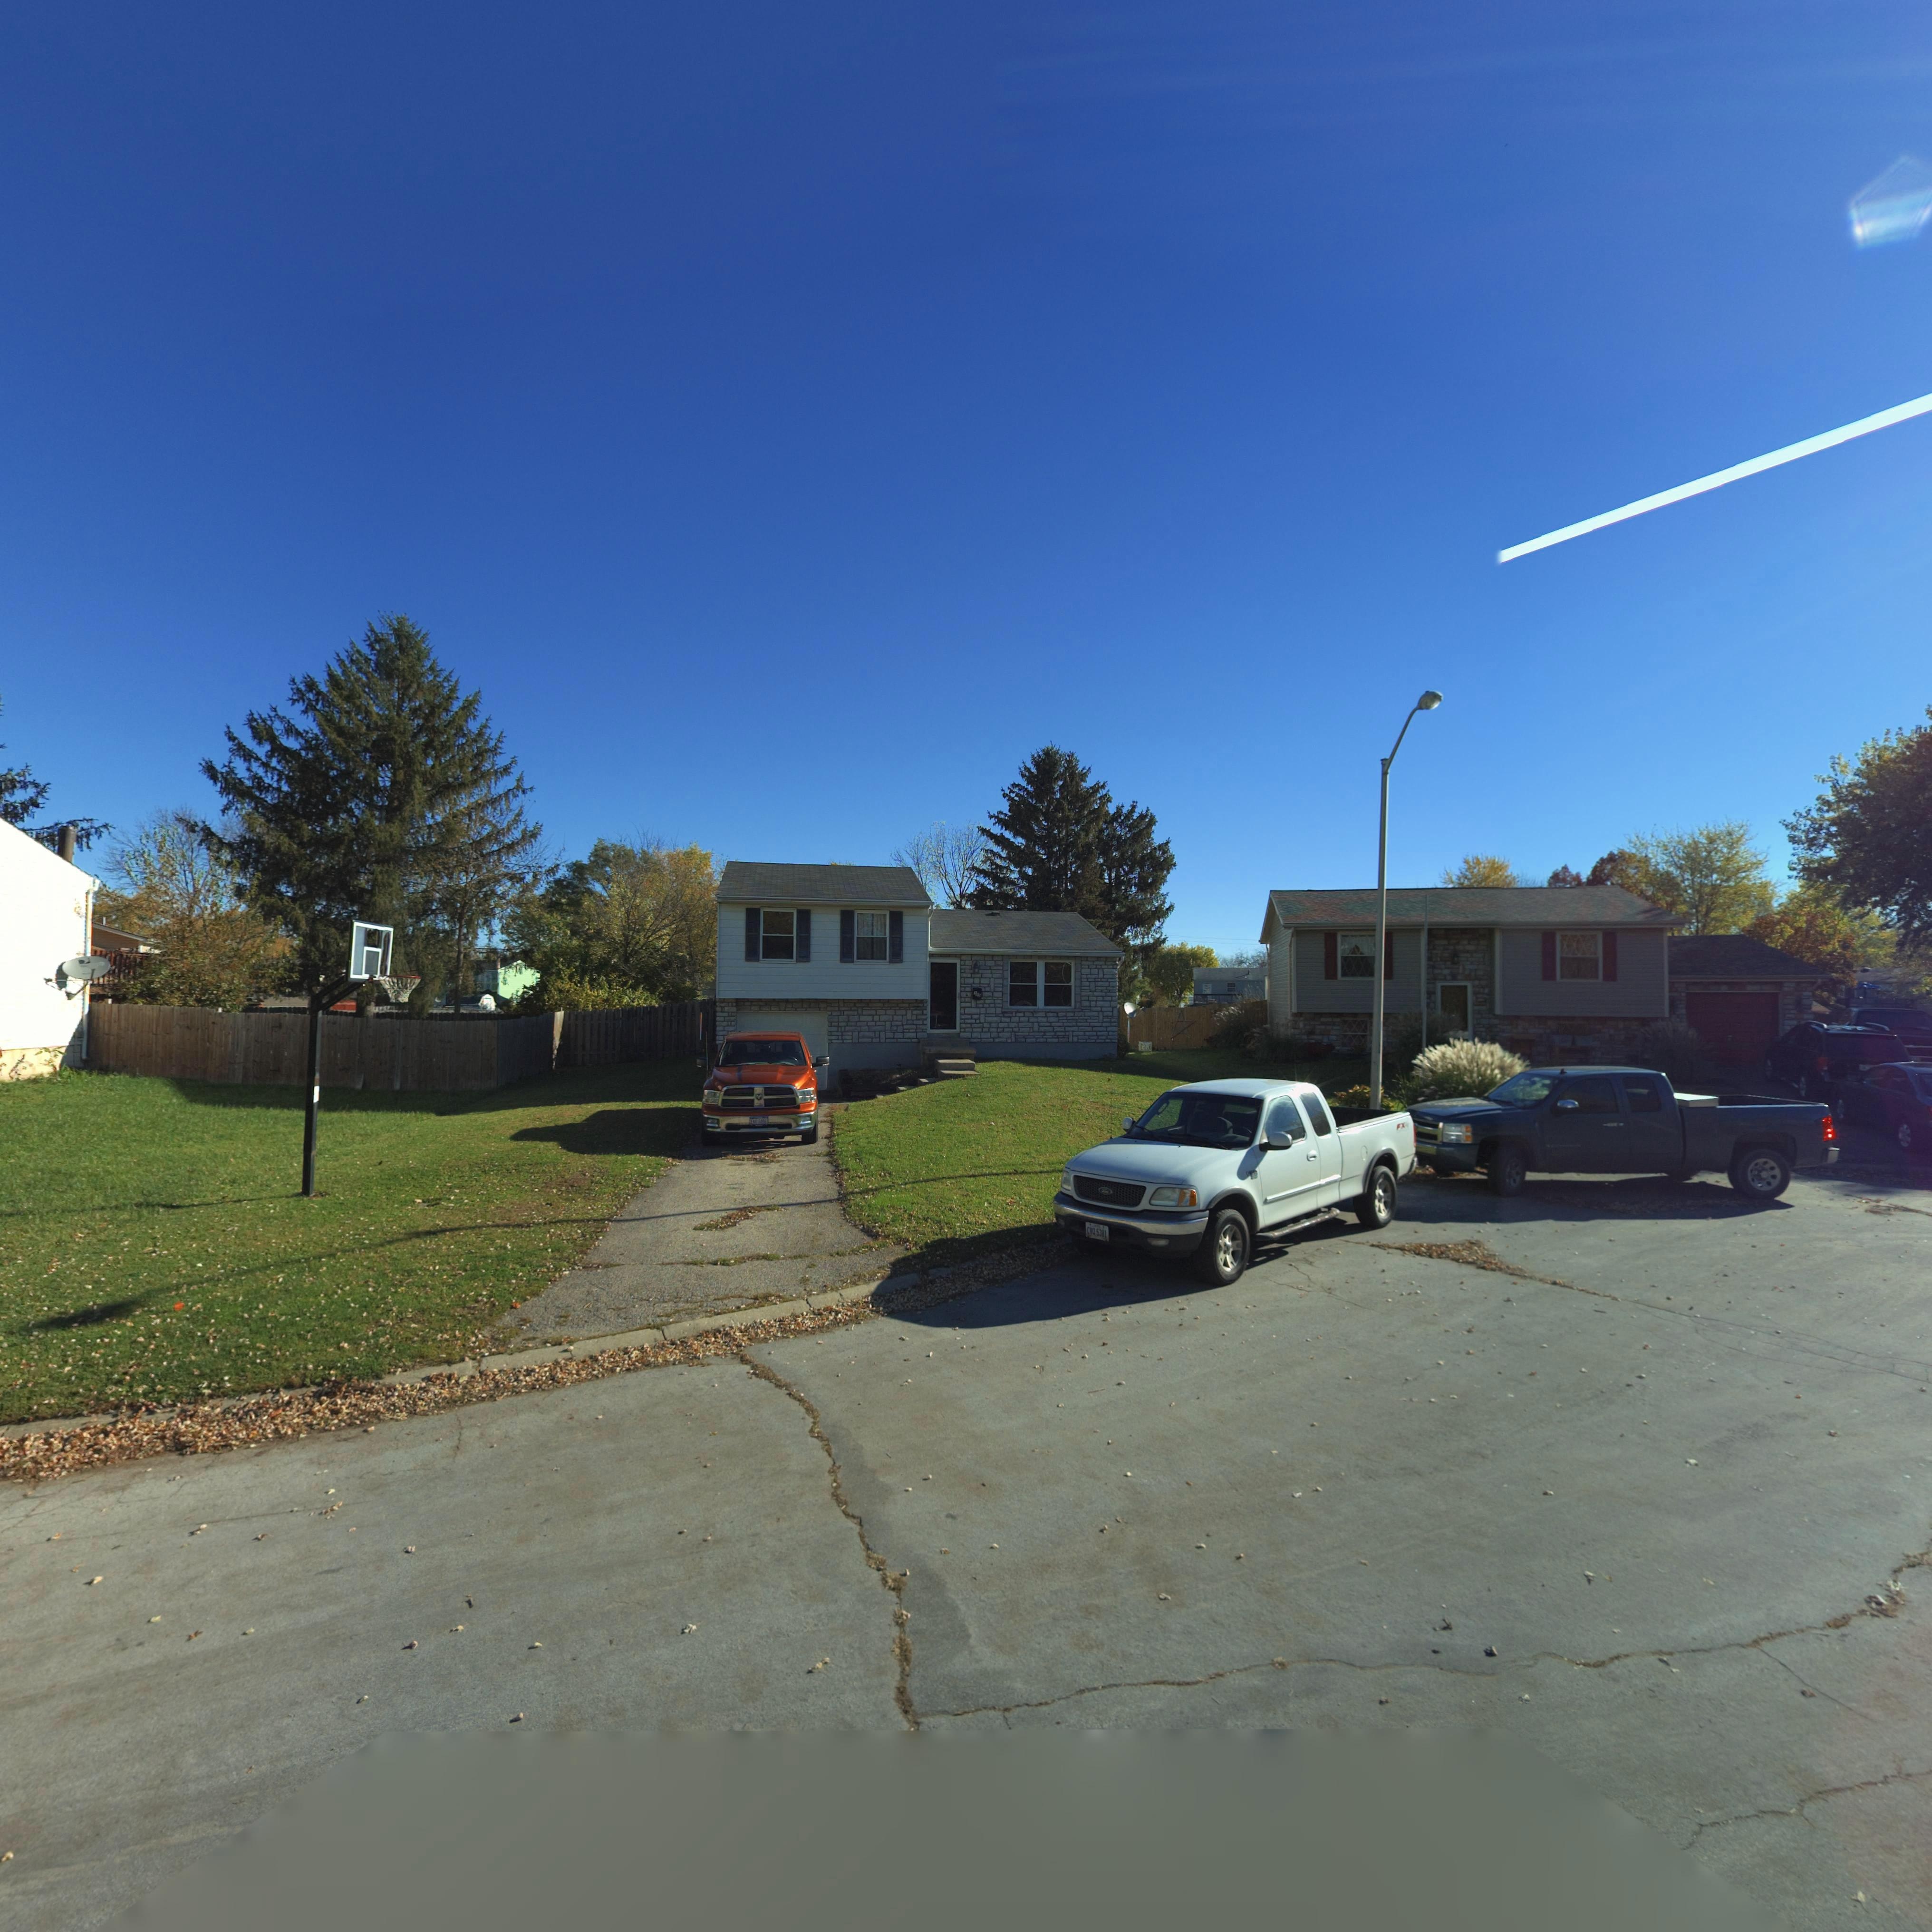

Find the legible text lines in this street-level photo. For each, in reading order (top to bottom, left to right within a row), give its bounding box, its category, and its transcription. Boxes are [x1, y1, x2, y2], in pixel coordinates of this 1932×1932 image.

[973, 990, 982, 998] StreetNumber: 1**